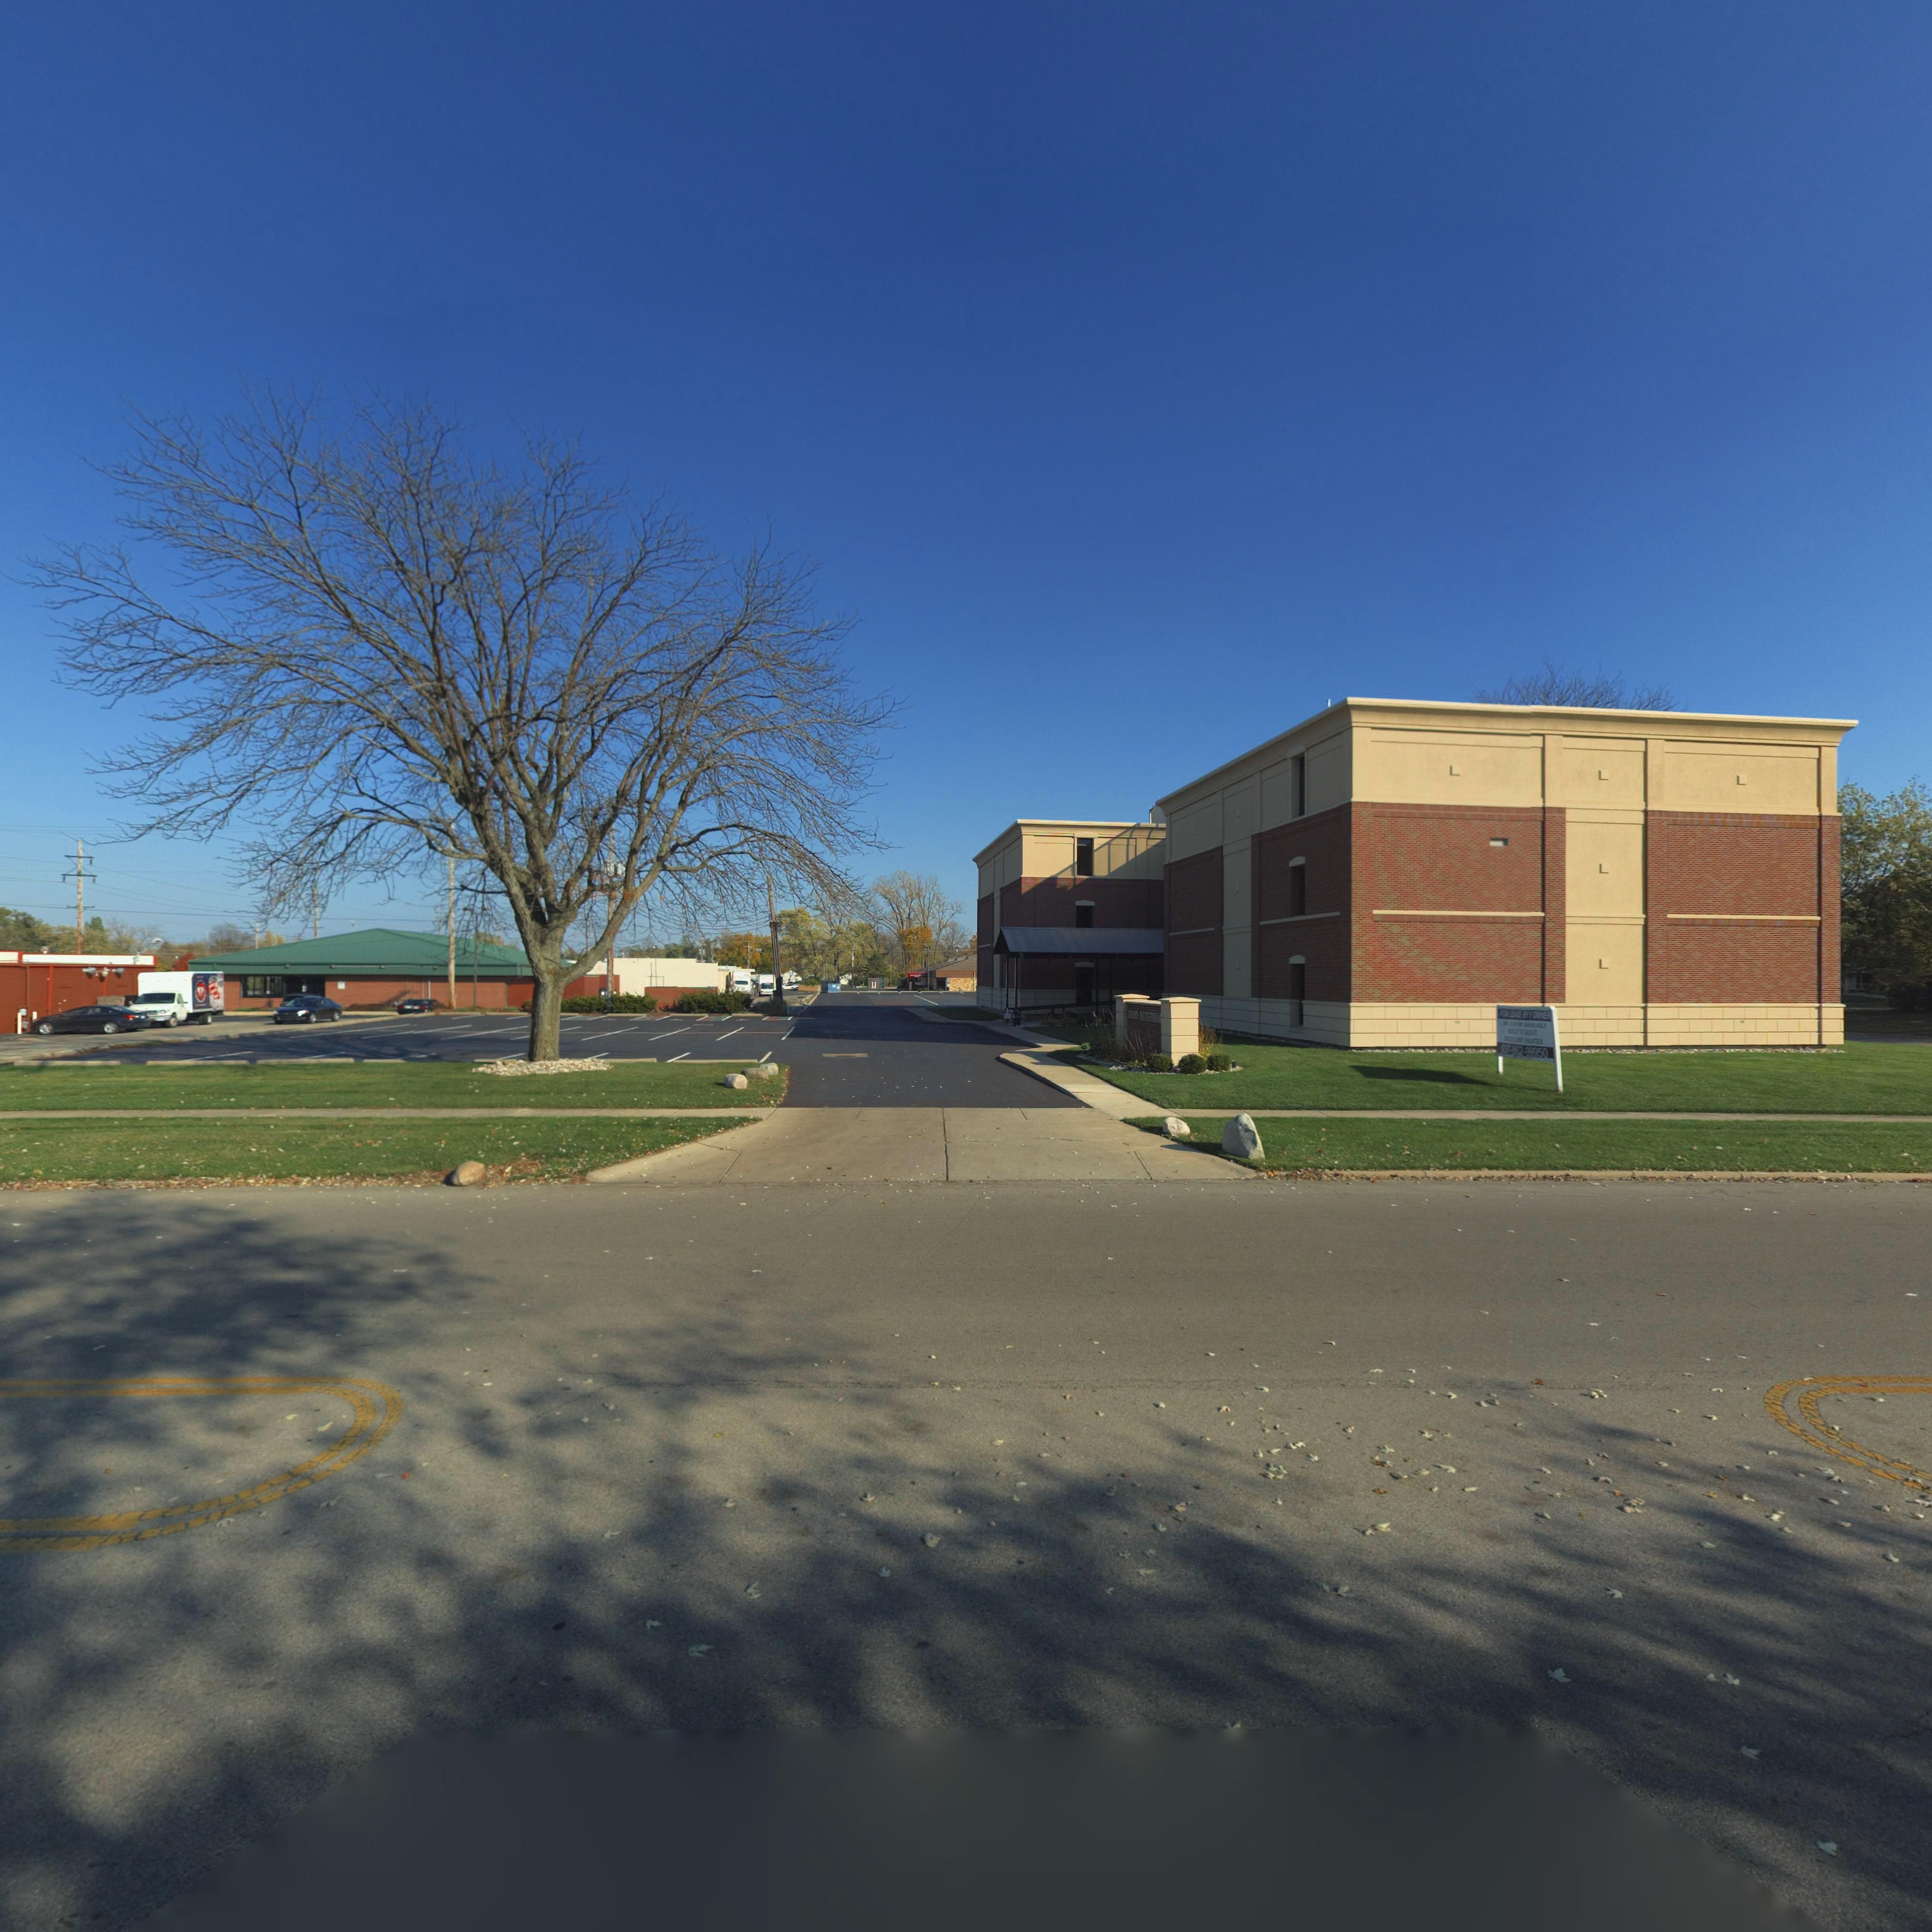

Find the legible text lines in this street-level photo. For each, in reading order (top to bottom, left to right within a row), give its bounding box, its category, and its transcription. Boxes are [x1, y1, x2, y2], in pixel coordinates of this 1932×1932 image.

[1127, 1008, 1139, 1021] StreetNumber: 3080
[1139, 1011, 1154, 1023] StreetName: ACKER